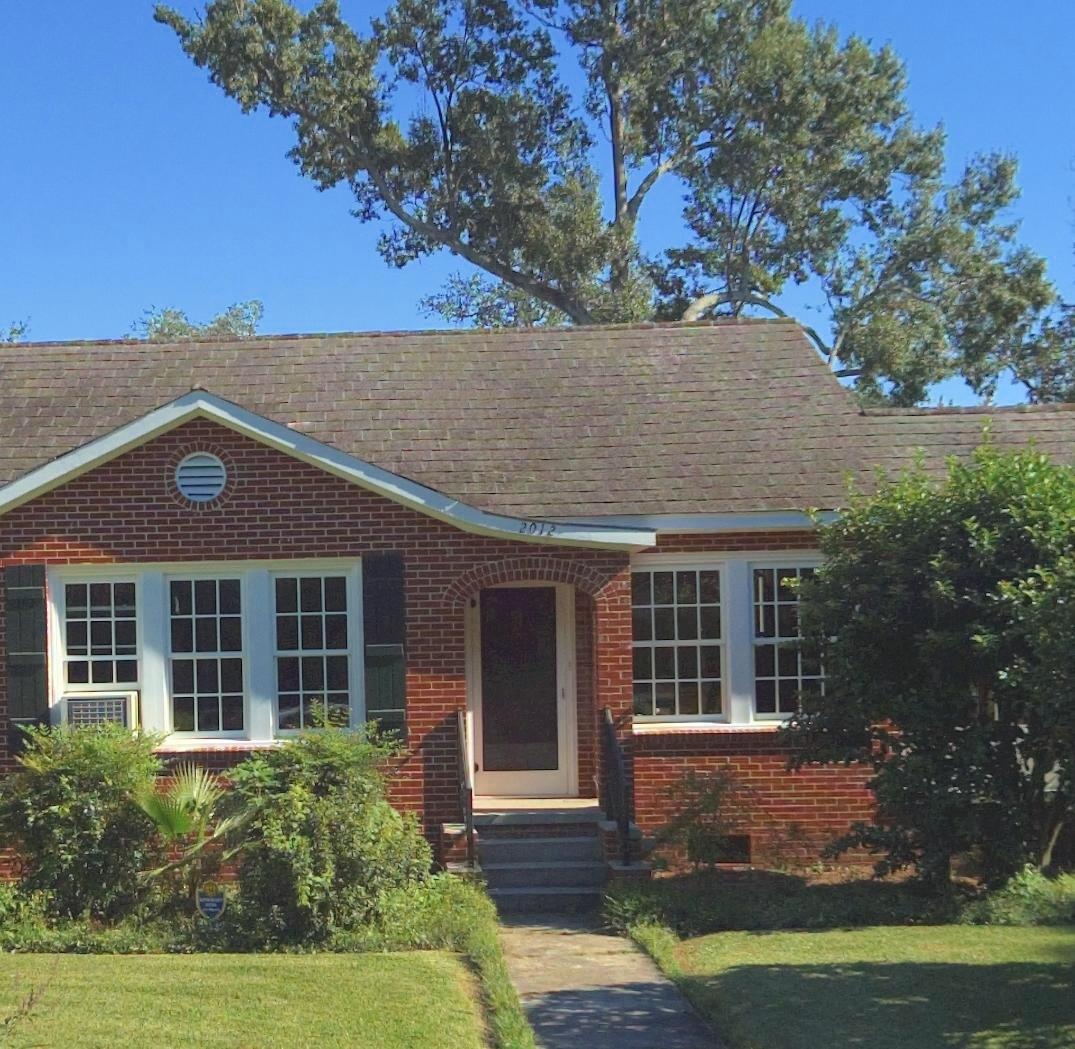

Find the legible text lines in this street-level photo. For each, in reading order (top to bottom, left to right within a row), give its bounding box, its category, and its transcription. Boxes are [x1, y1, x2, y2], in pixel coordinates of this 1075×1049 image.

[514, 518, 561, 540] StreetNumber: 2012